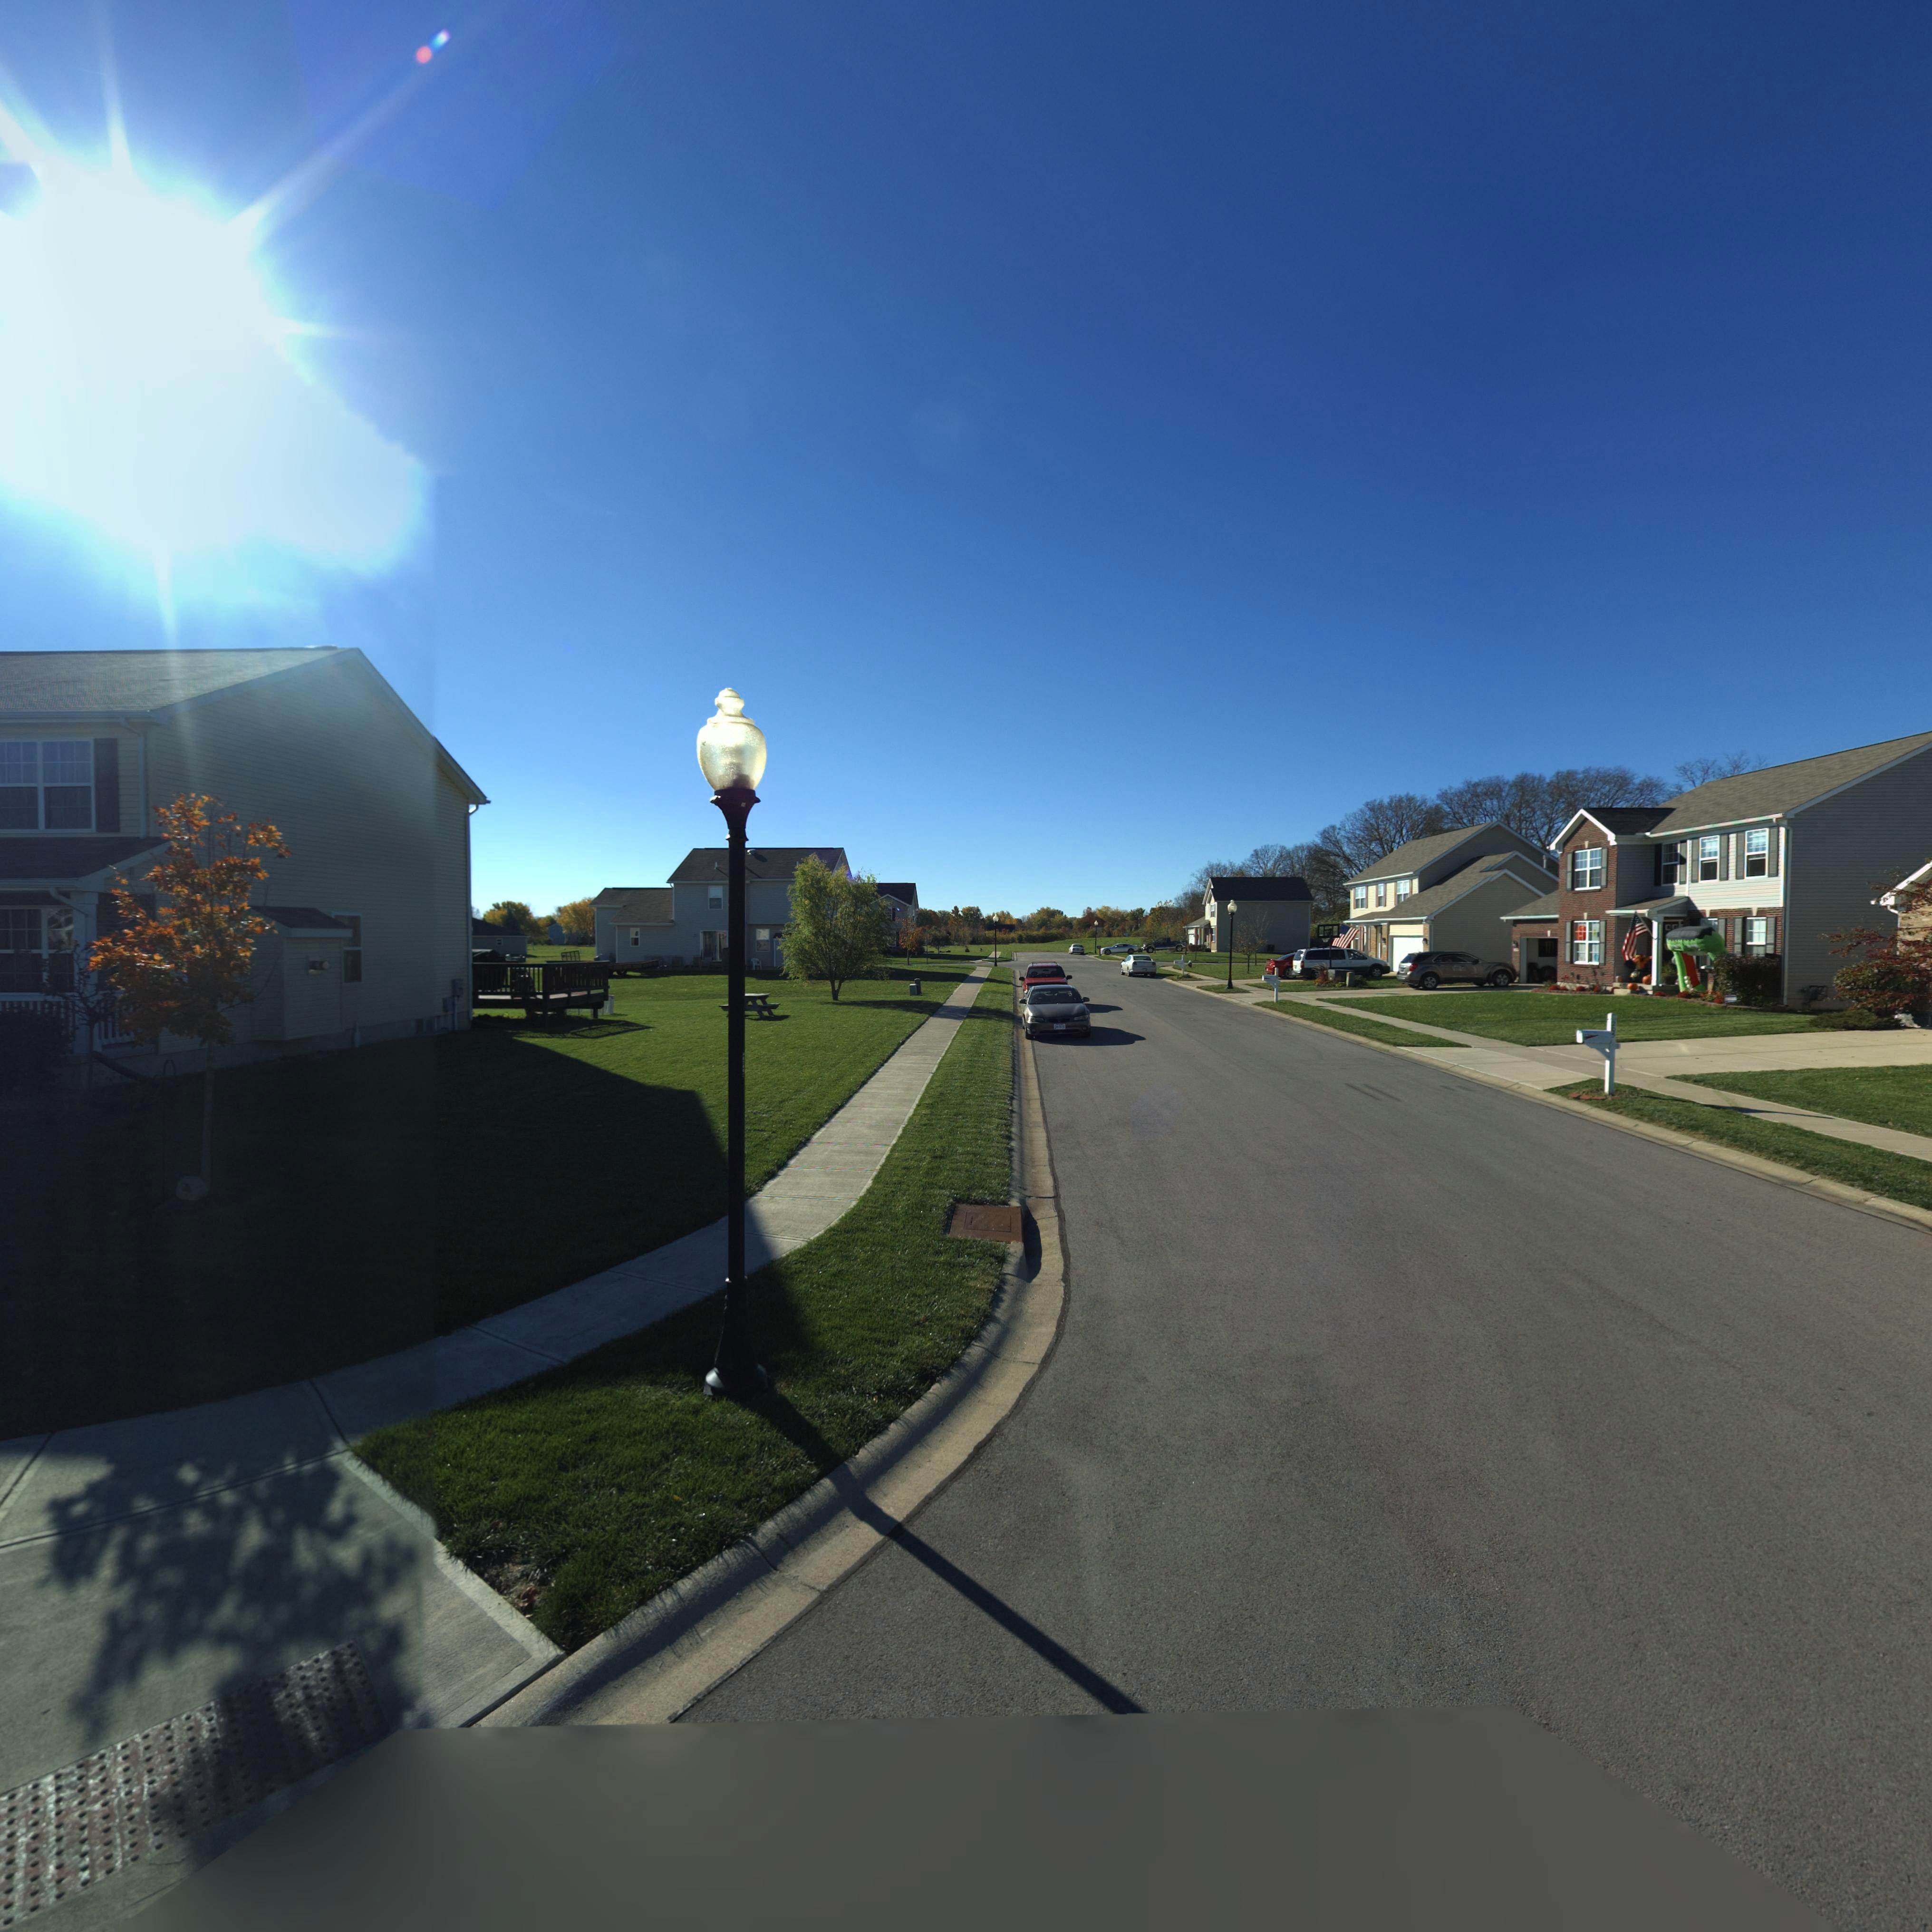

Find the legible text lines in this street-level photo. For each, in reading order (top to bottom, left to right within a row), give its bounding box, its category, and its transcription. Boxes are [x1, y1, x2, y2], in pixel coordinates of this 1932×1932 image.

[1611, 1021, 1616, 1038] StreetNumber: 20*